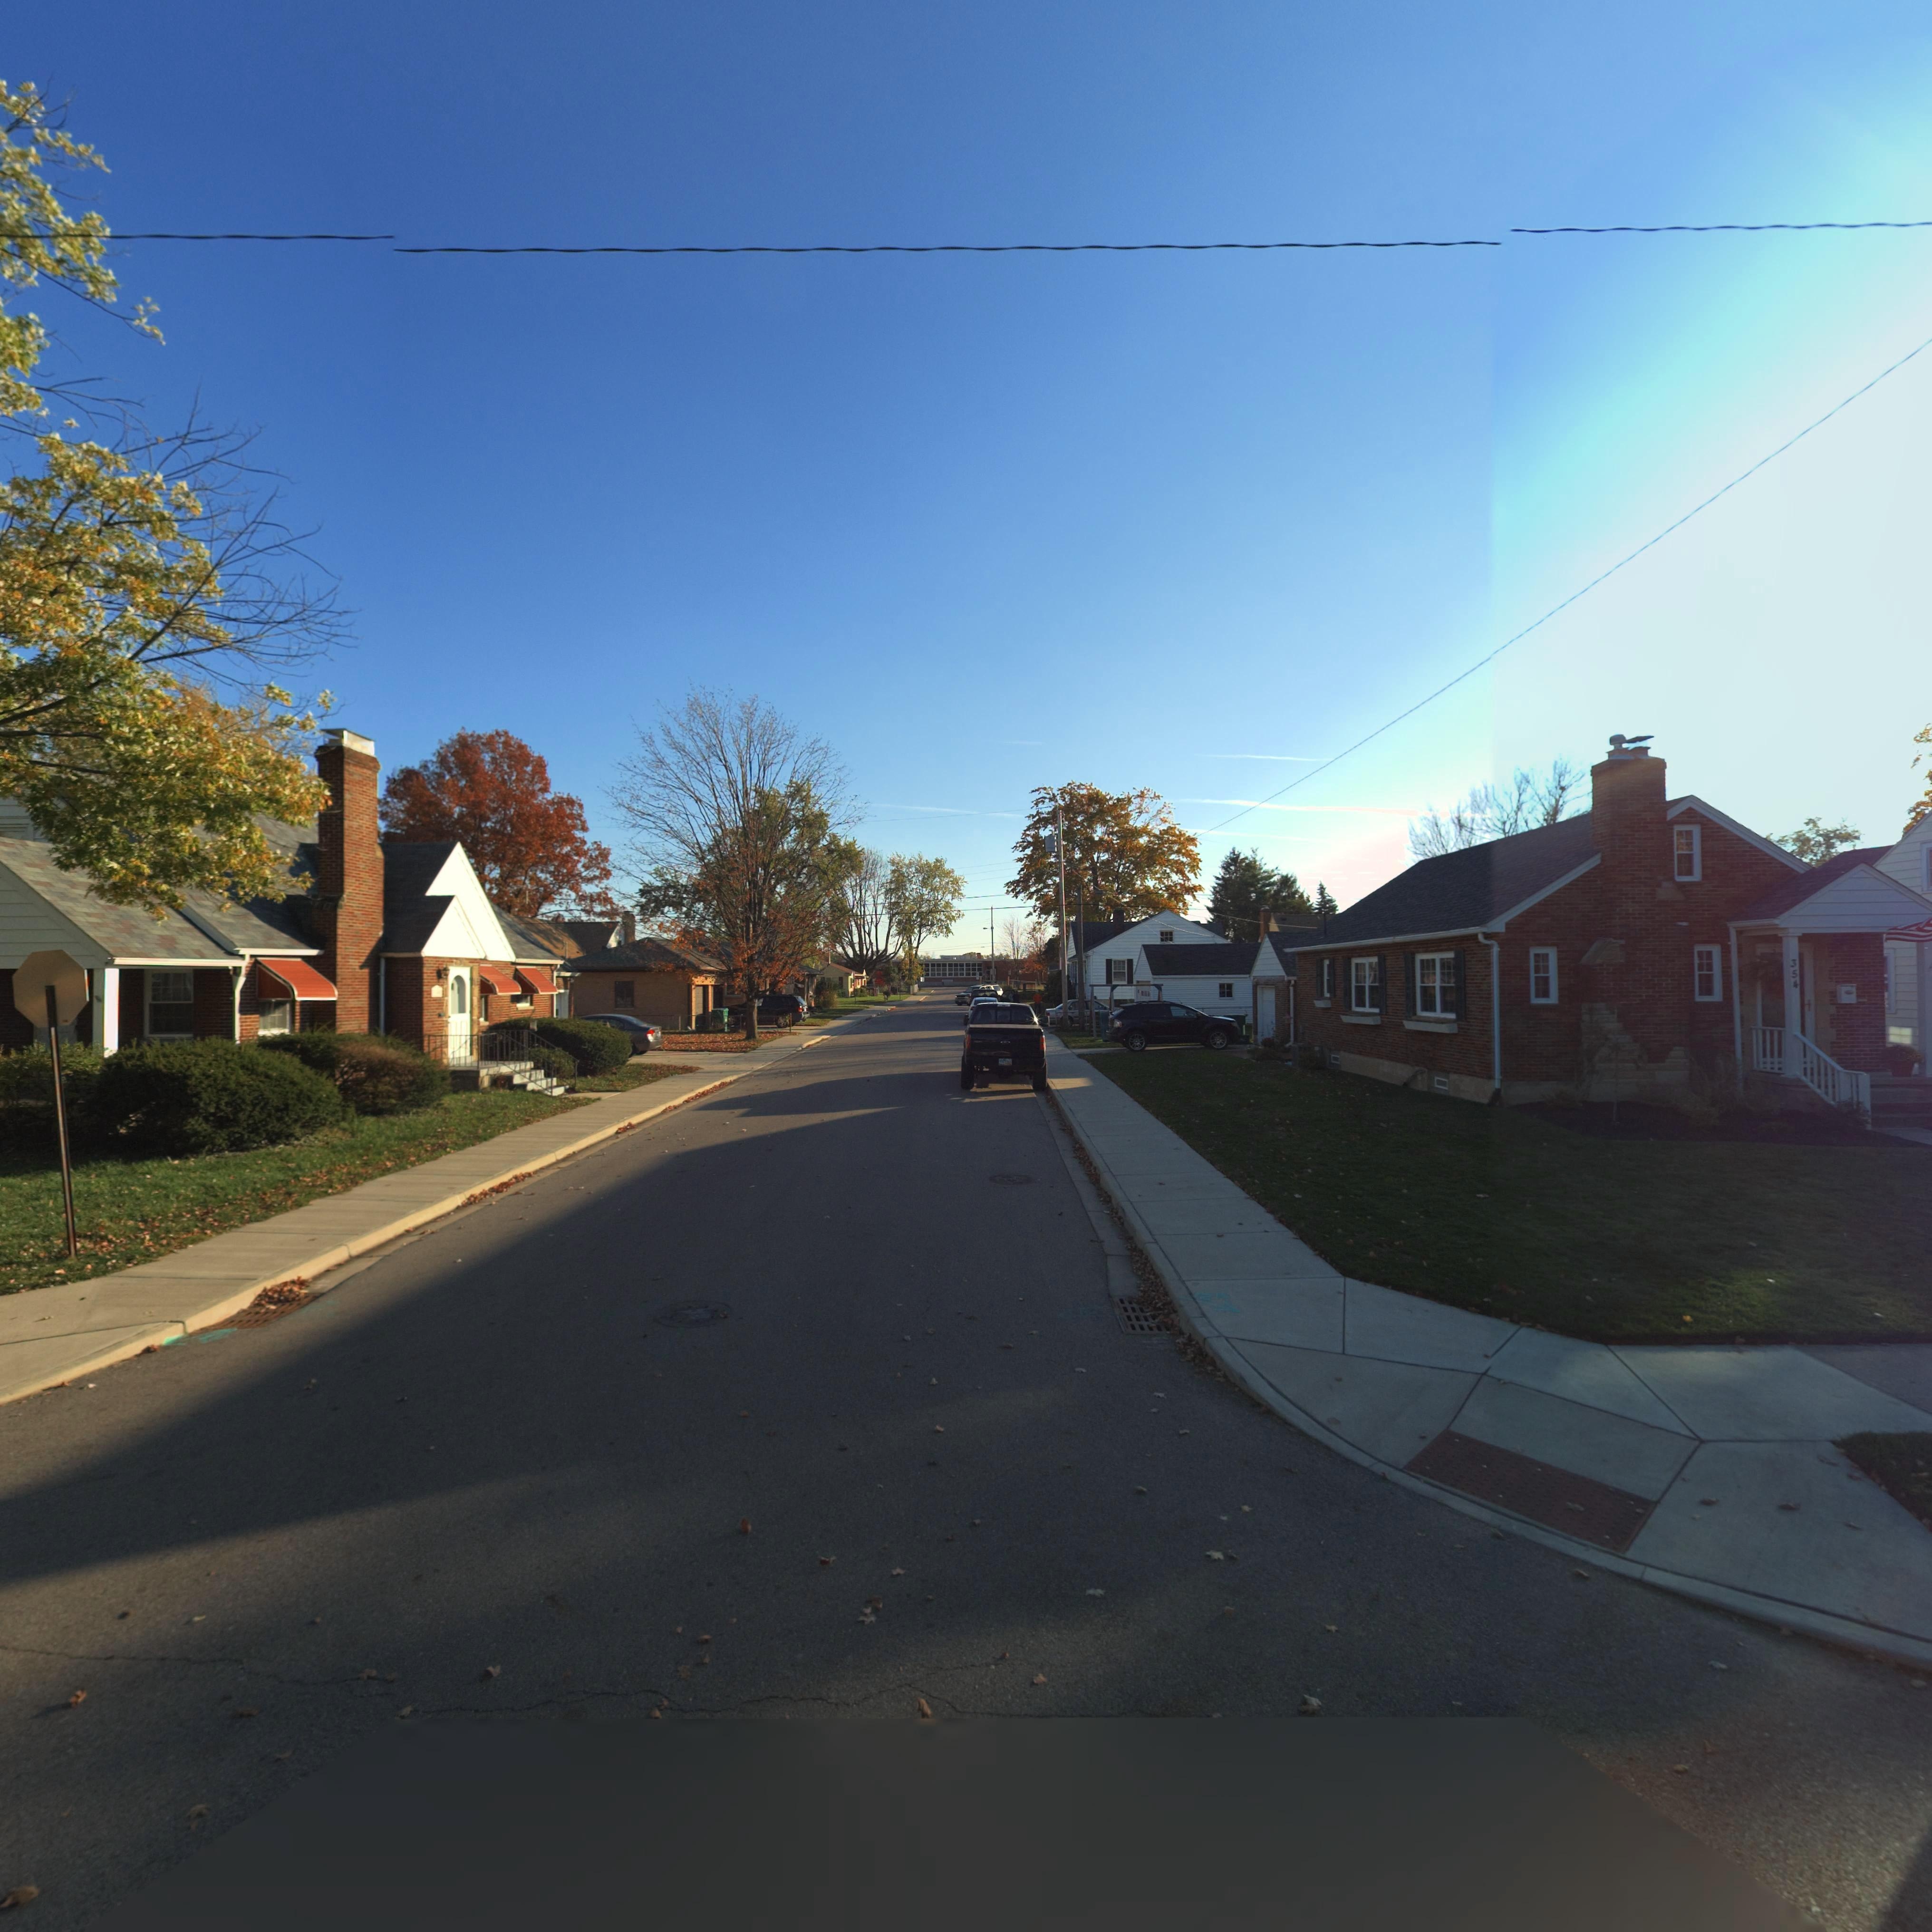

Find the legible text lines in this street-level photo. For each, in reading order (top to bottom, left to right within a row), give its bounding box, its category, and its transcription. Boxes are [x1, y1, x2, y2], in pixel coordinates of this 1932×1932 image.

[1790, 958, 1799, 989] StreetNumber: 354